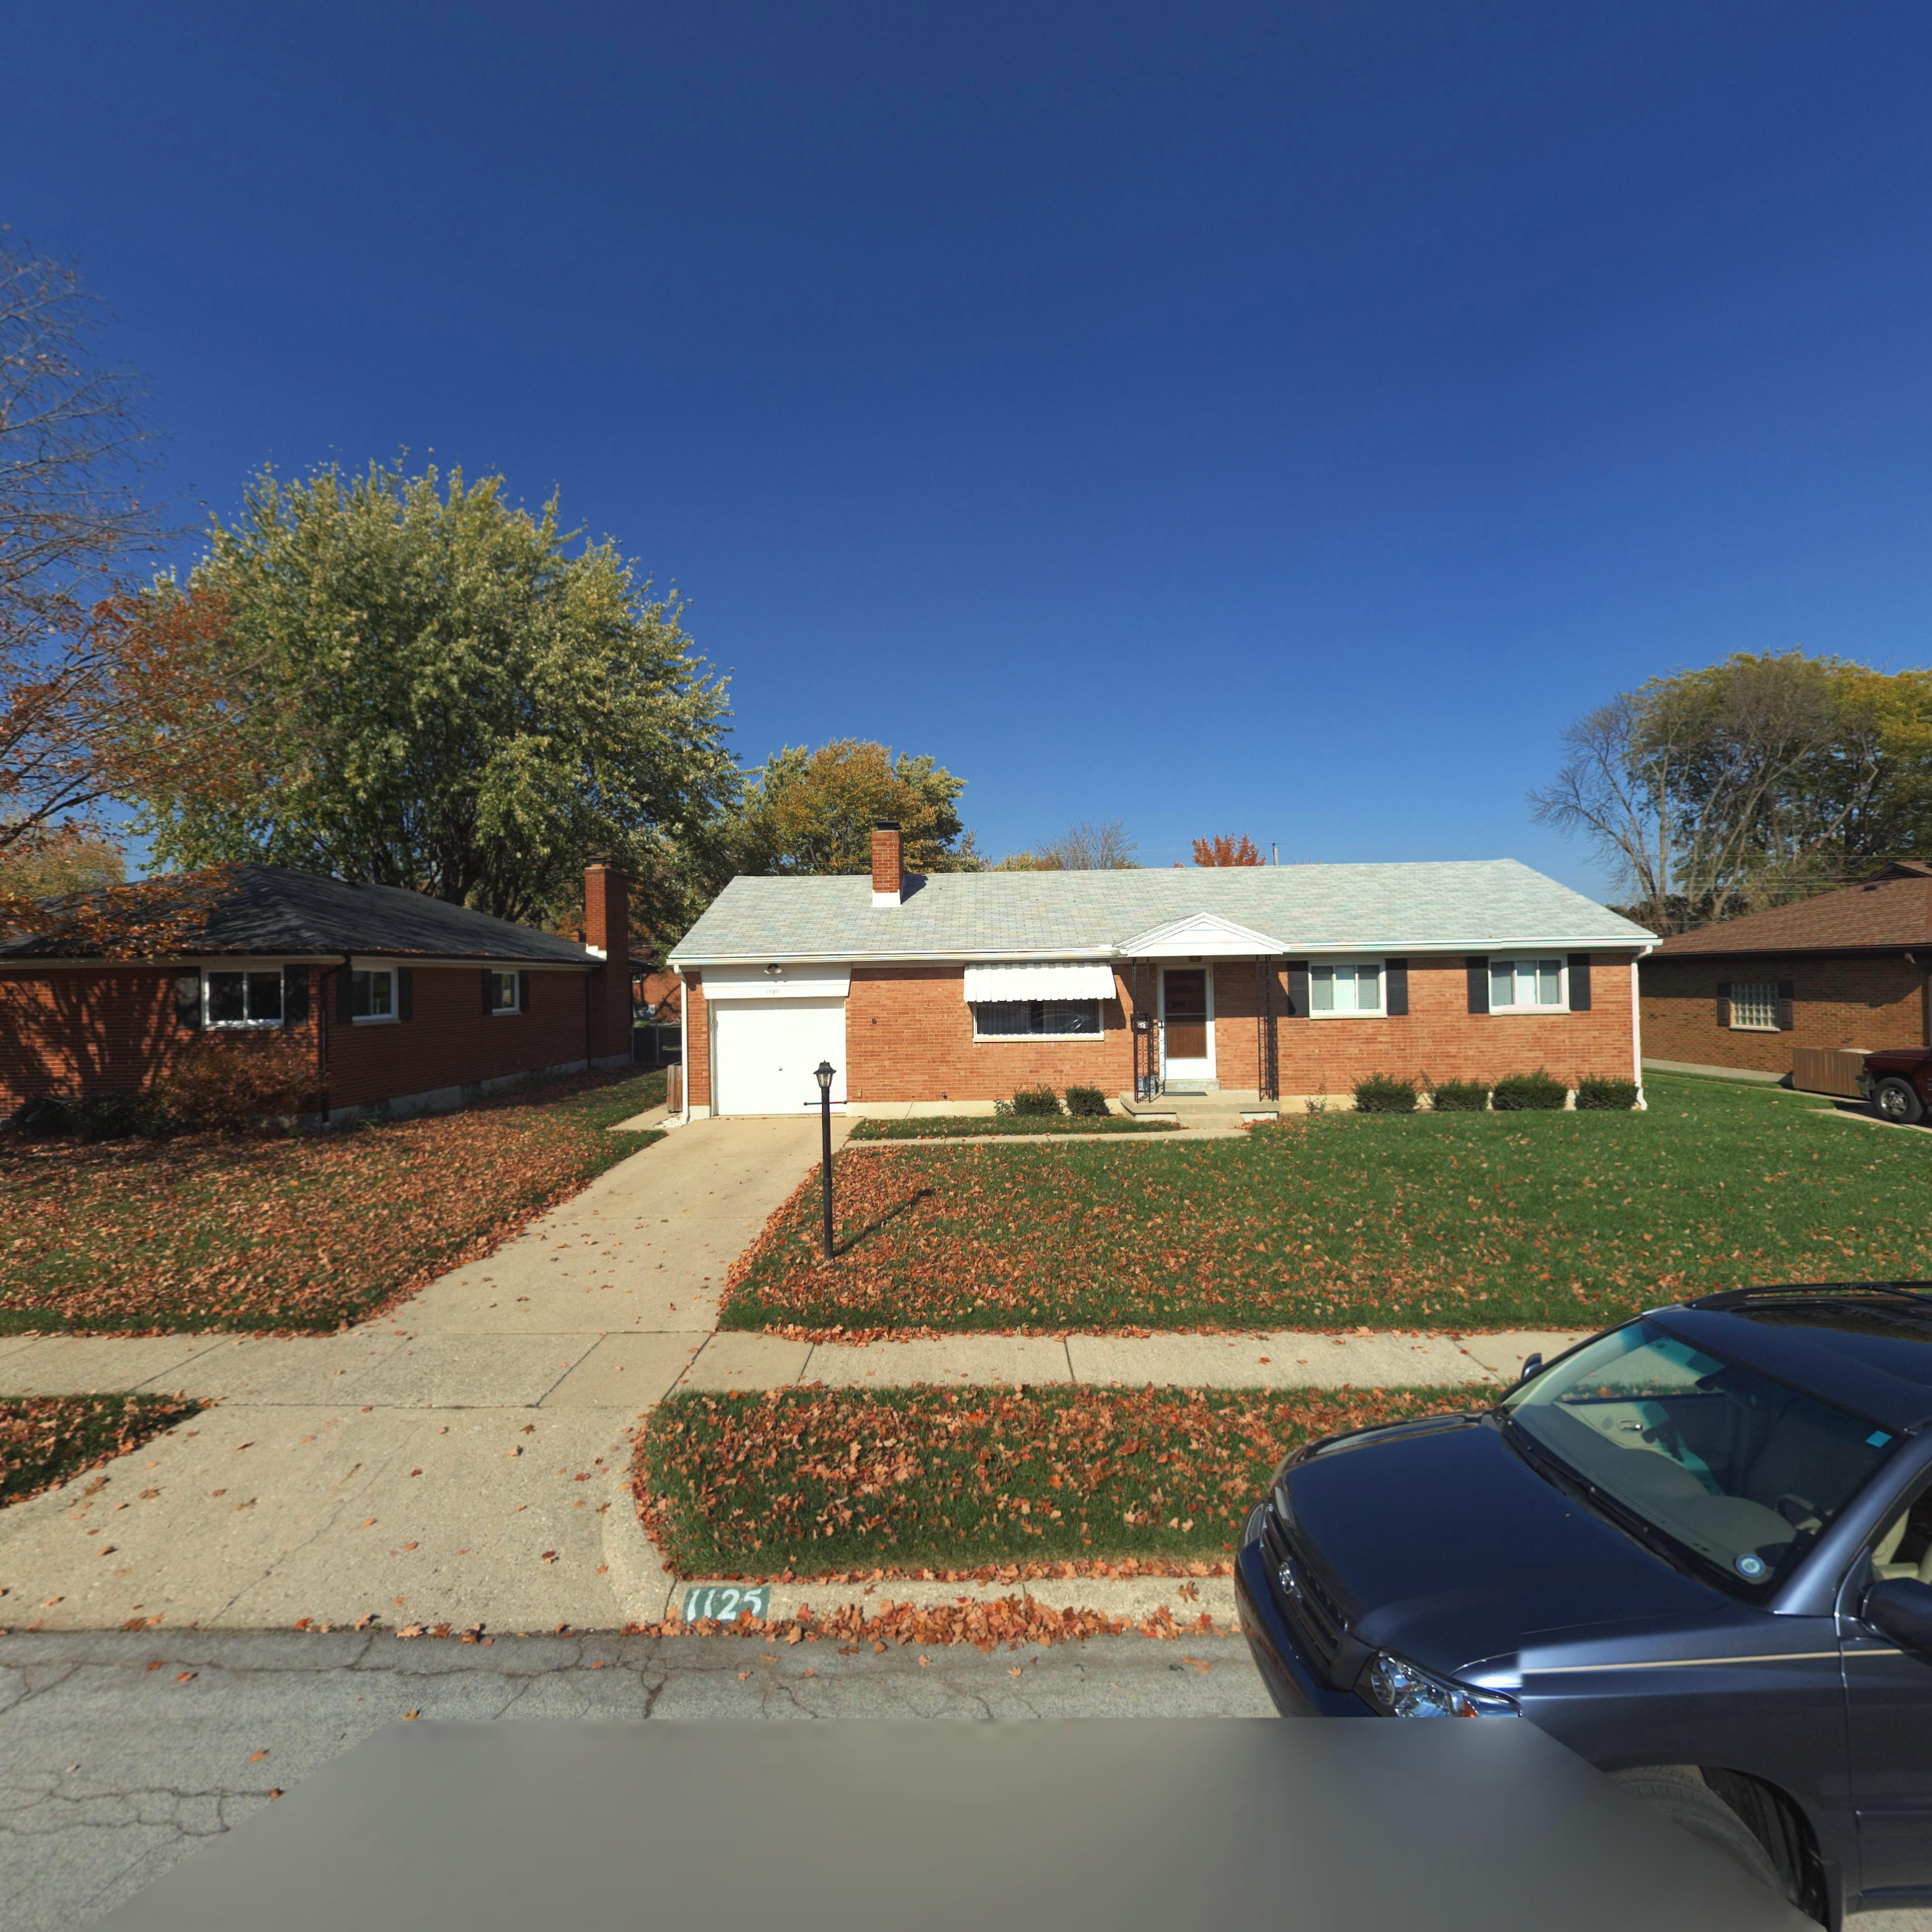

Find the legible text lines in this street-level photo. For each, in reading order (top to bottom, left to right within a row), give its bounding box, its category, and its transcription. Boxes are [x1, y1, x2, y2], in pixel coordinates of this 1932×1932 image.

[765, 988, 779, 995] StreetNumber: 1125
[685, 1588, 763, 1622] StreetNumber: 1125